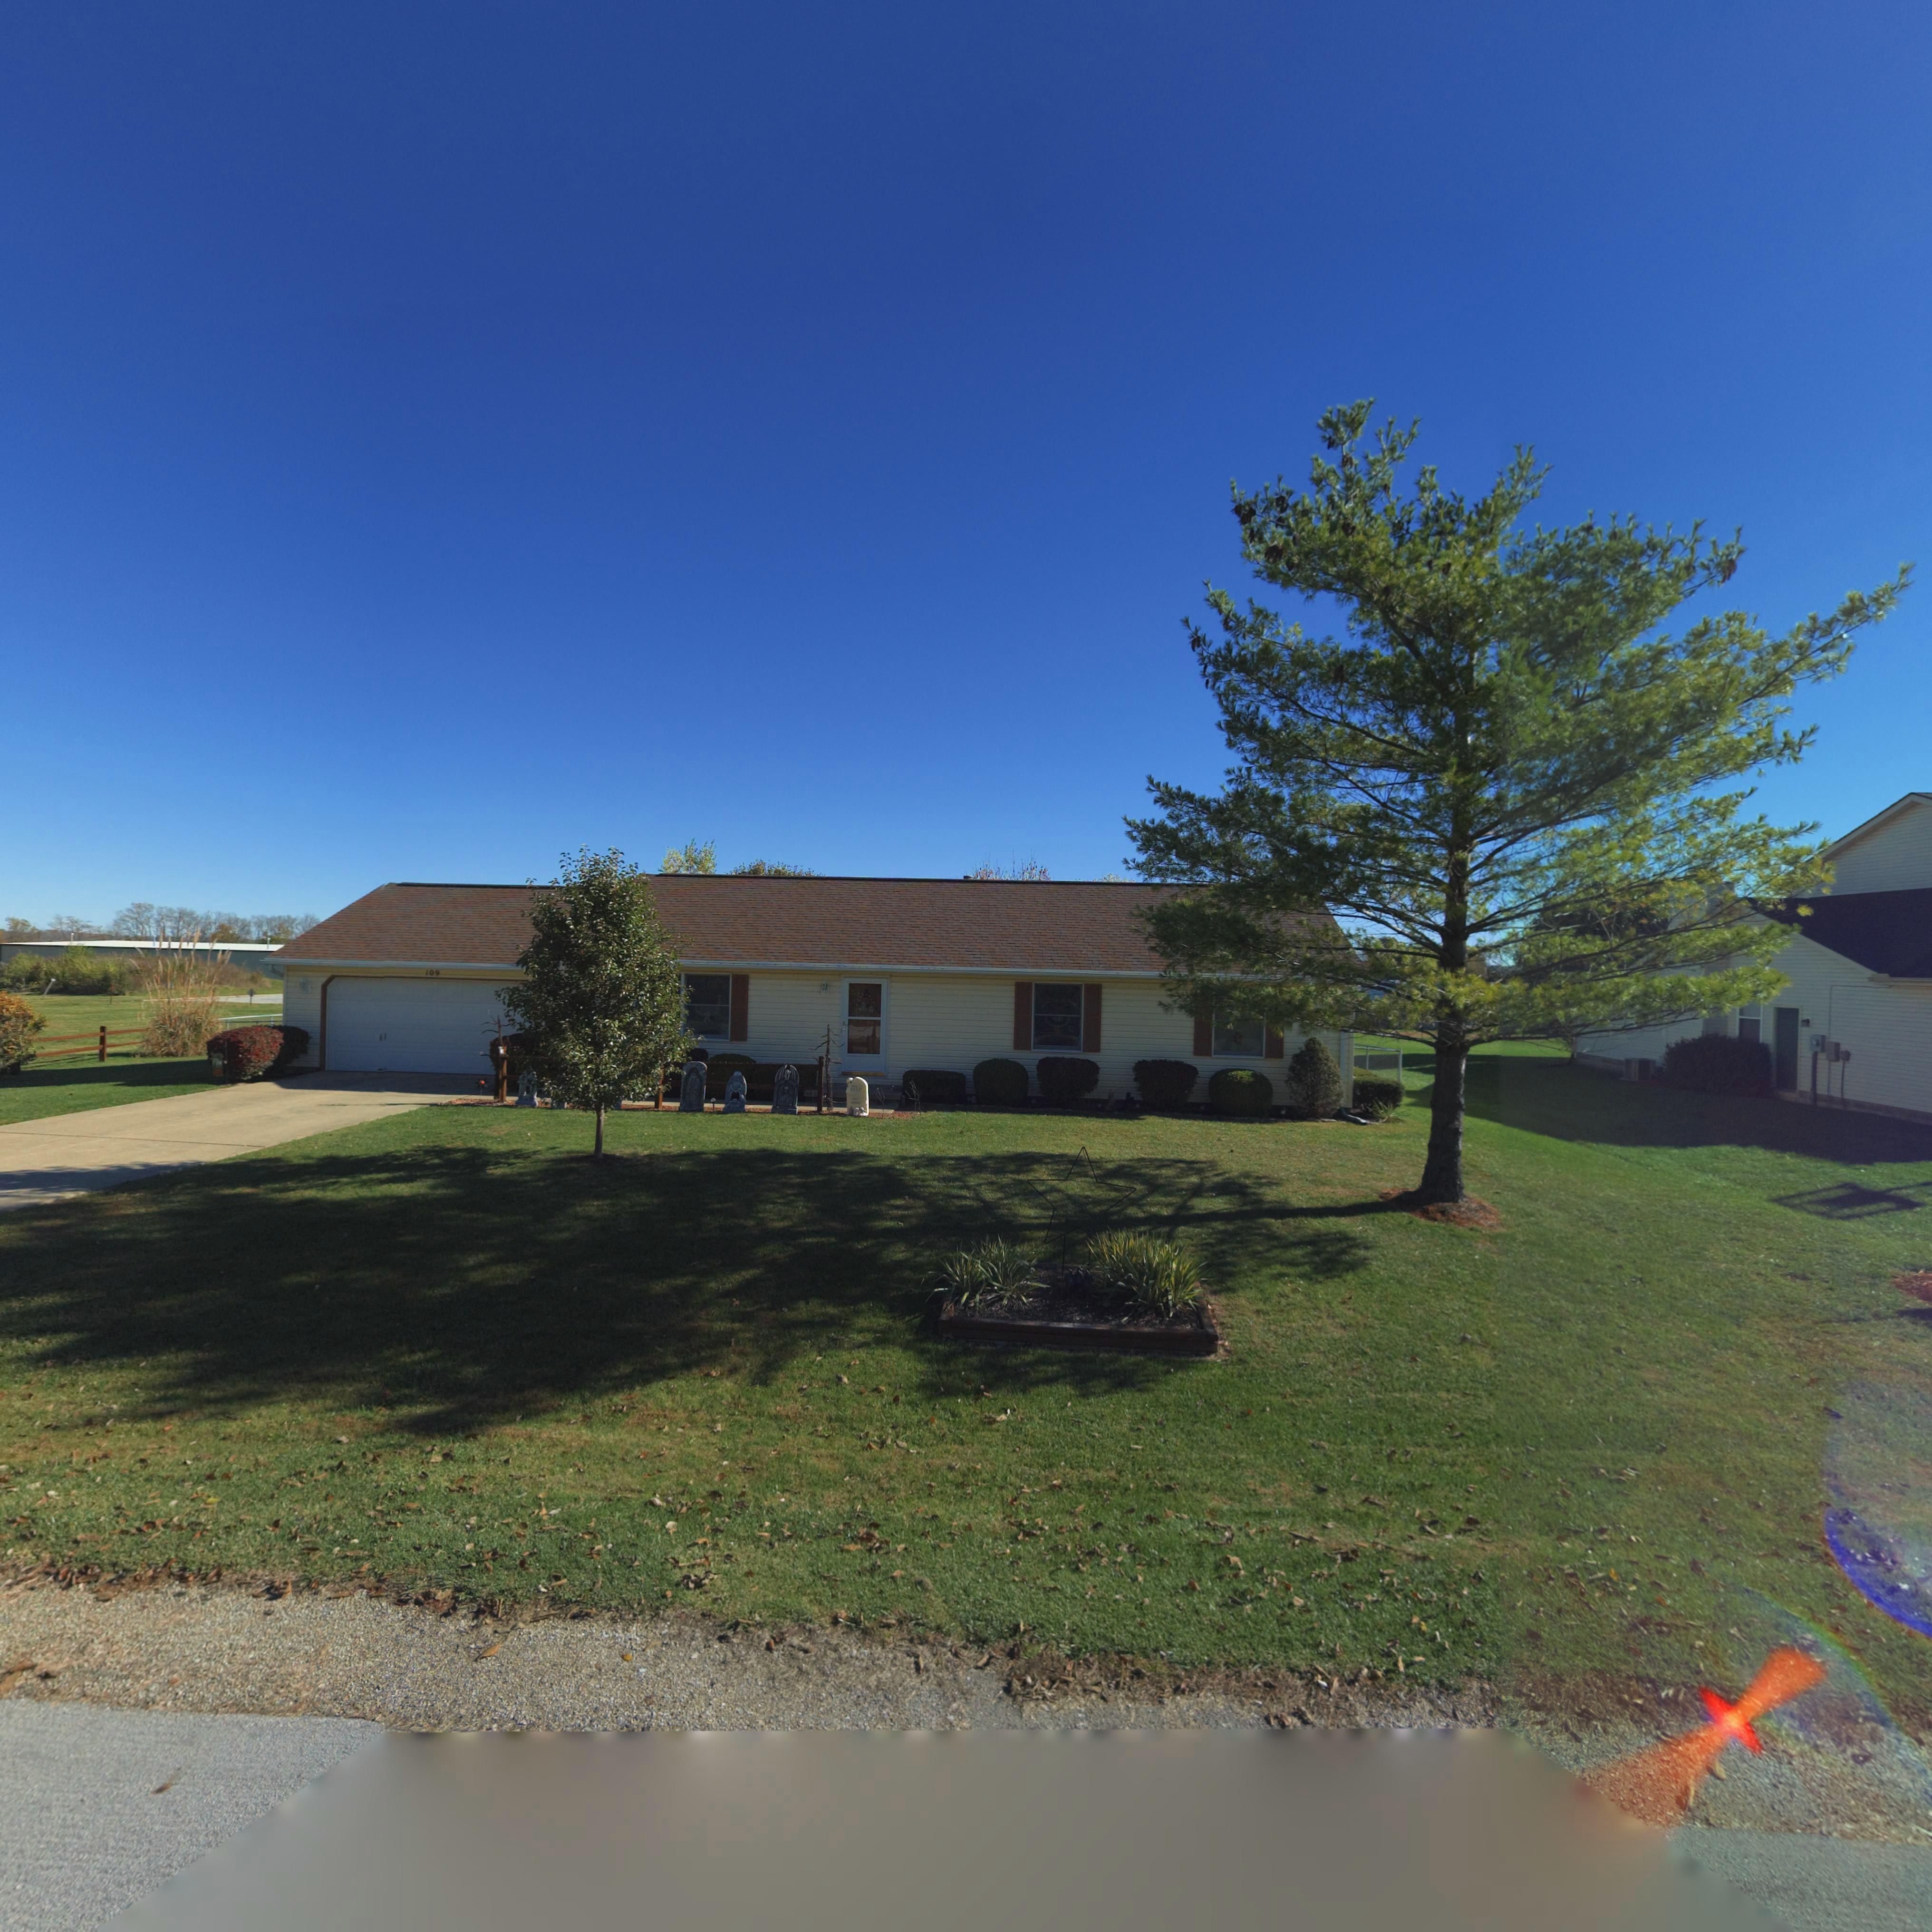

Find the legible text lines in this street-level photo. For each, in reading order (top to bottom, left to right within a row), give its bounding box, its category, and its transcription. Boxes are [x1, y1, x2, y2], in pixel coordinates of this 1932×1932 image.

[425, 969, 440, 976] StreetNumber: 109